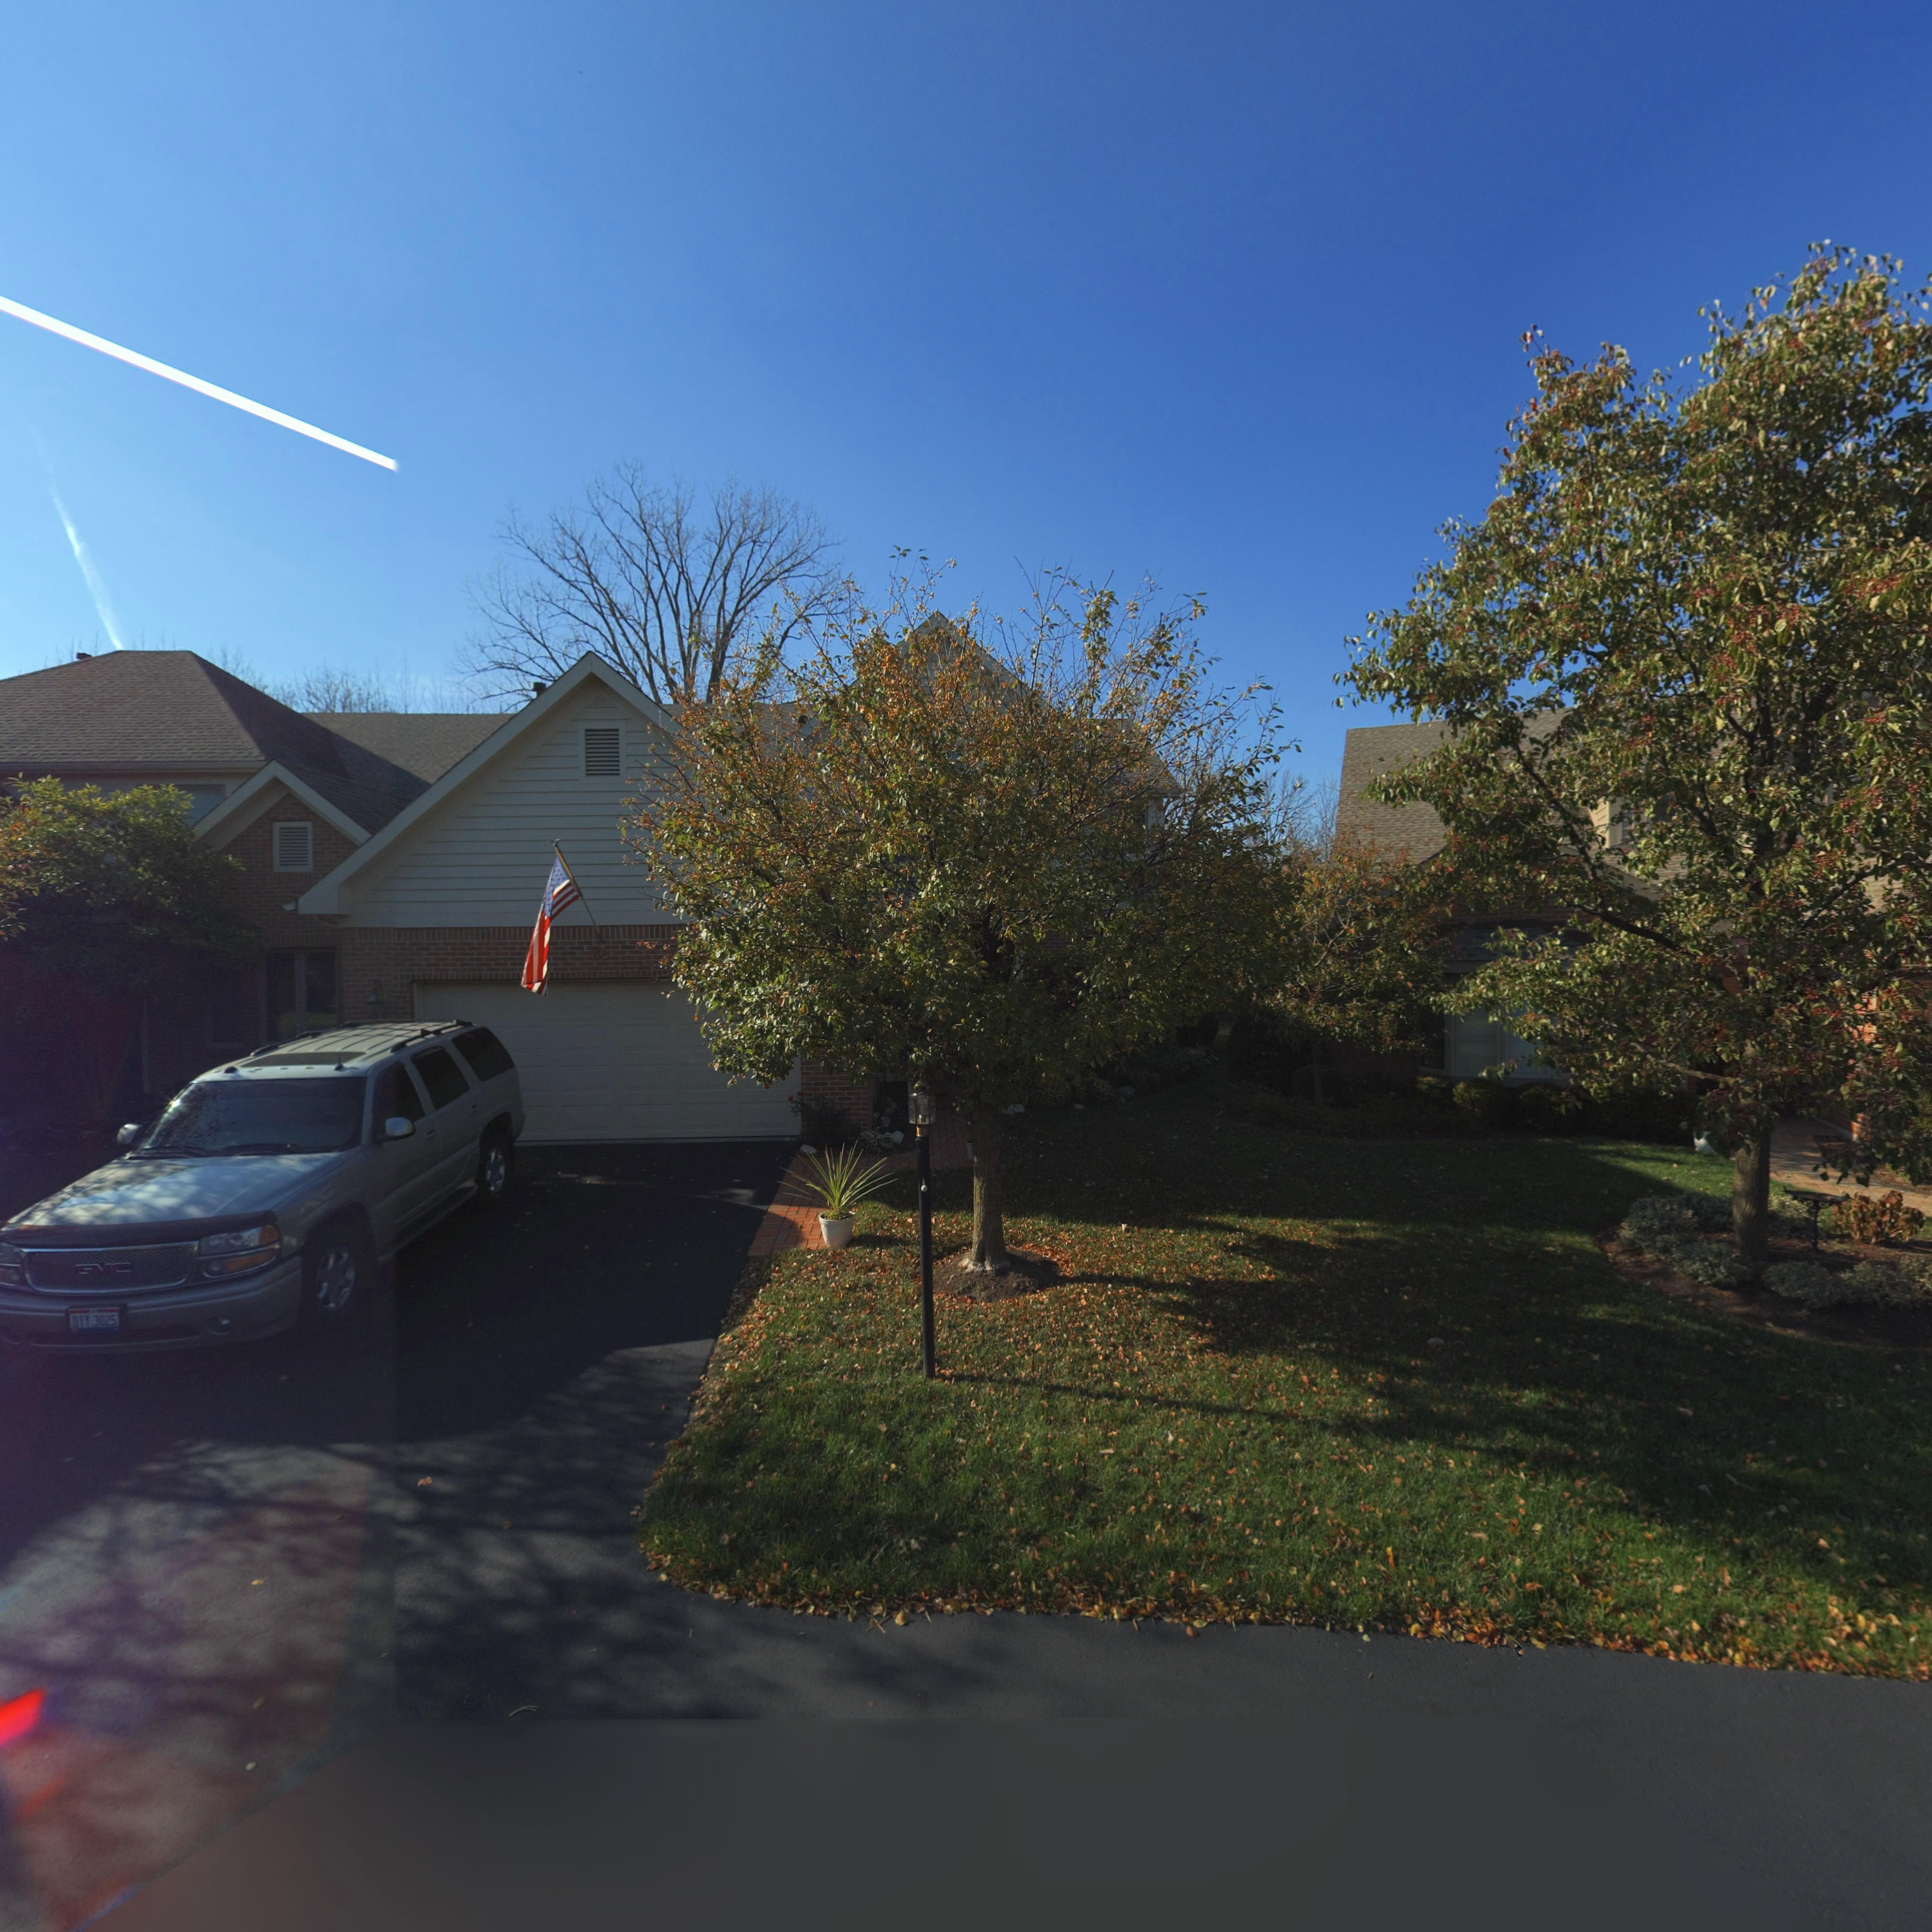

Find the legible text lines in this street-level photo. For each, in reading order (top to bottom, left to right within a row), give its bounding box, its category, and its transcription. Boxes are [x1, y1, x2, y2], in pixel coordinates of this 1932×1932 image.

[591, 945, 616, 962] StreetNumber: 861